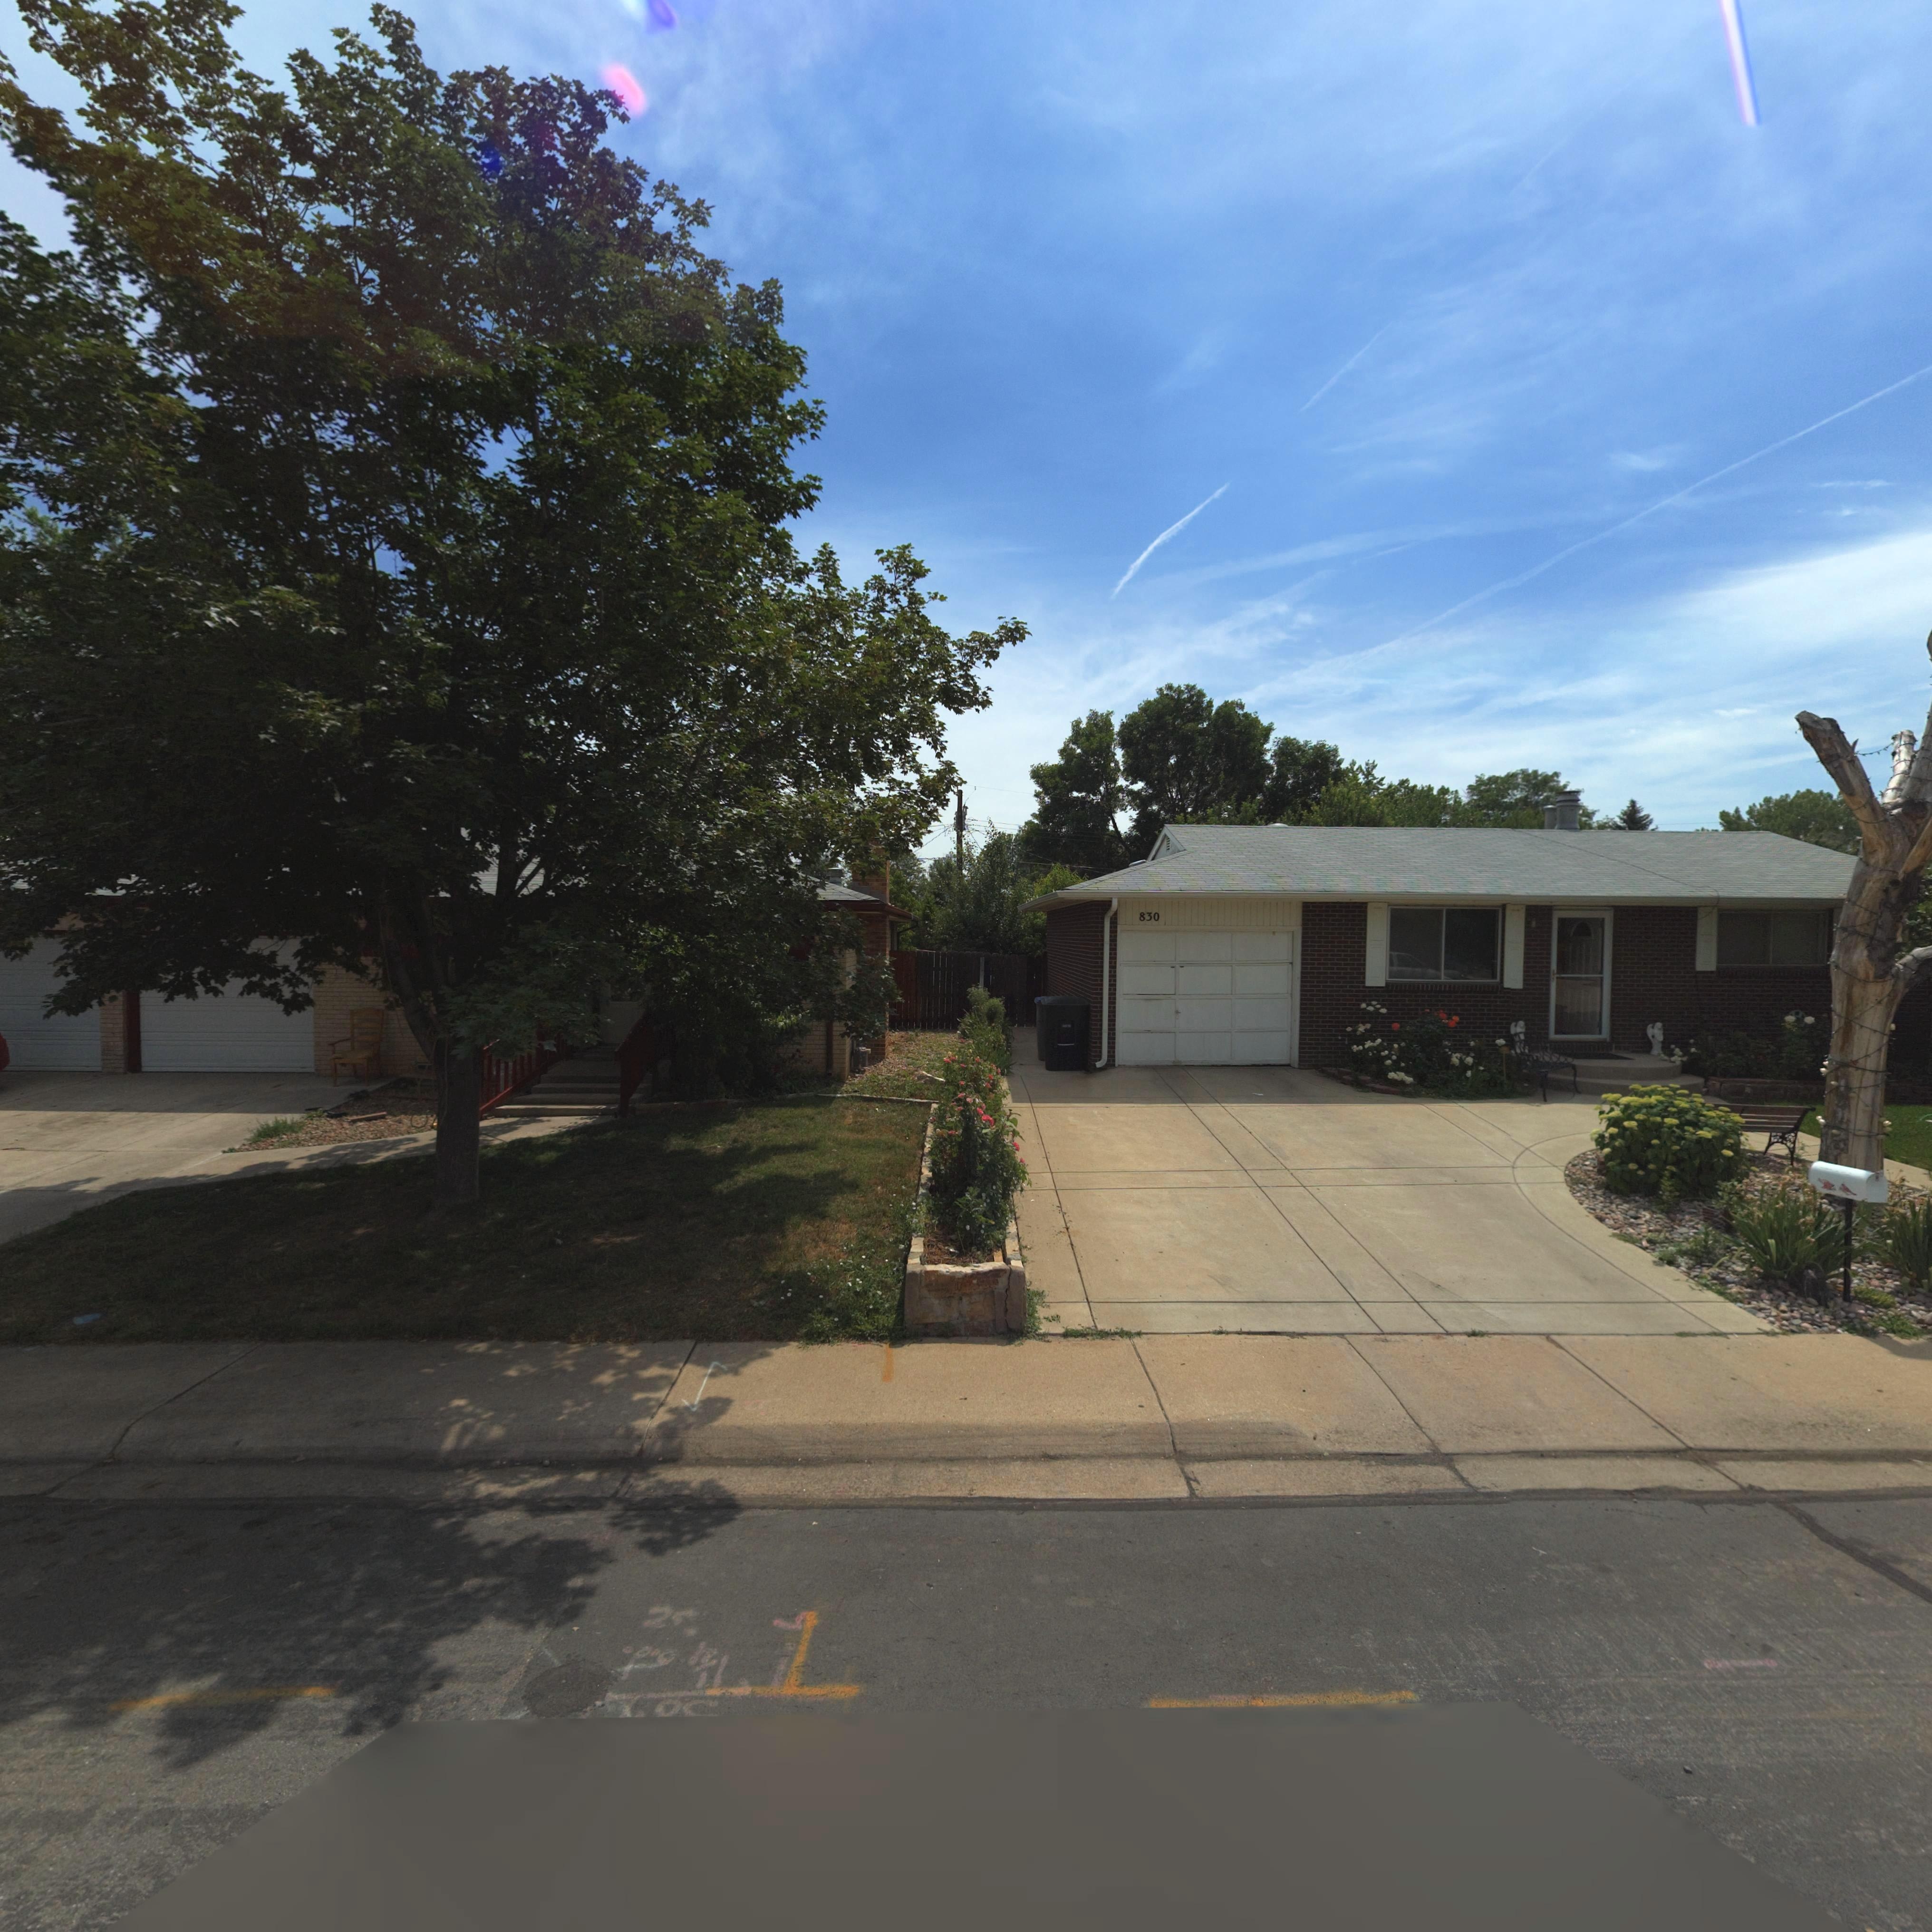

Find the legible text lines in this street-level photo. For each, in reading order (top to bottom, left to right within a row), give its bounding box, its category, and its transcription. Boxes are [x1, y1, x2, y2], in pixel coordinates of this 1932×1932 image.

[1139, 911, 1159, 921] StreetNumber: 830